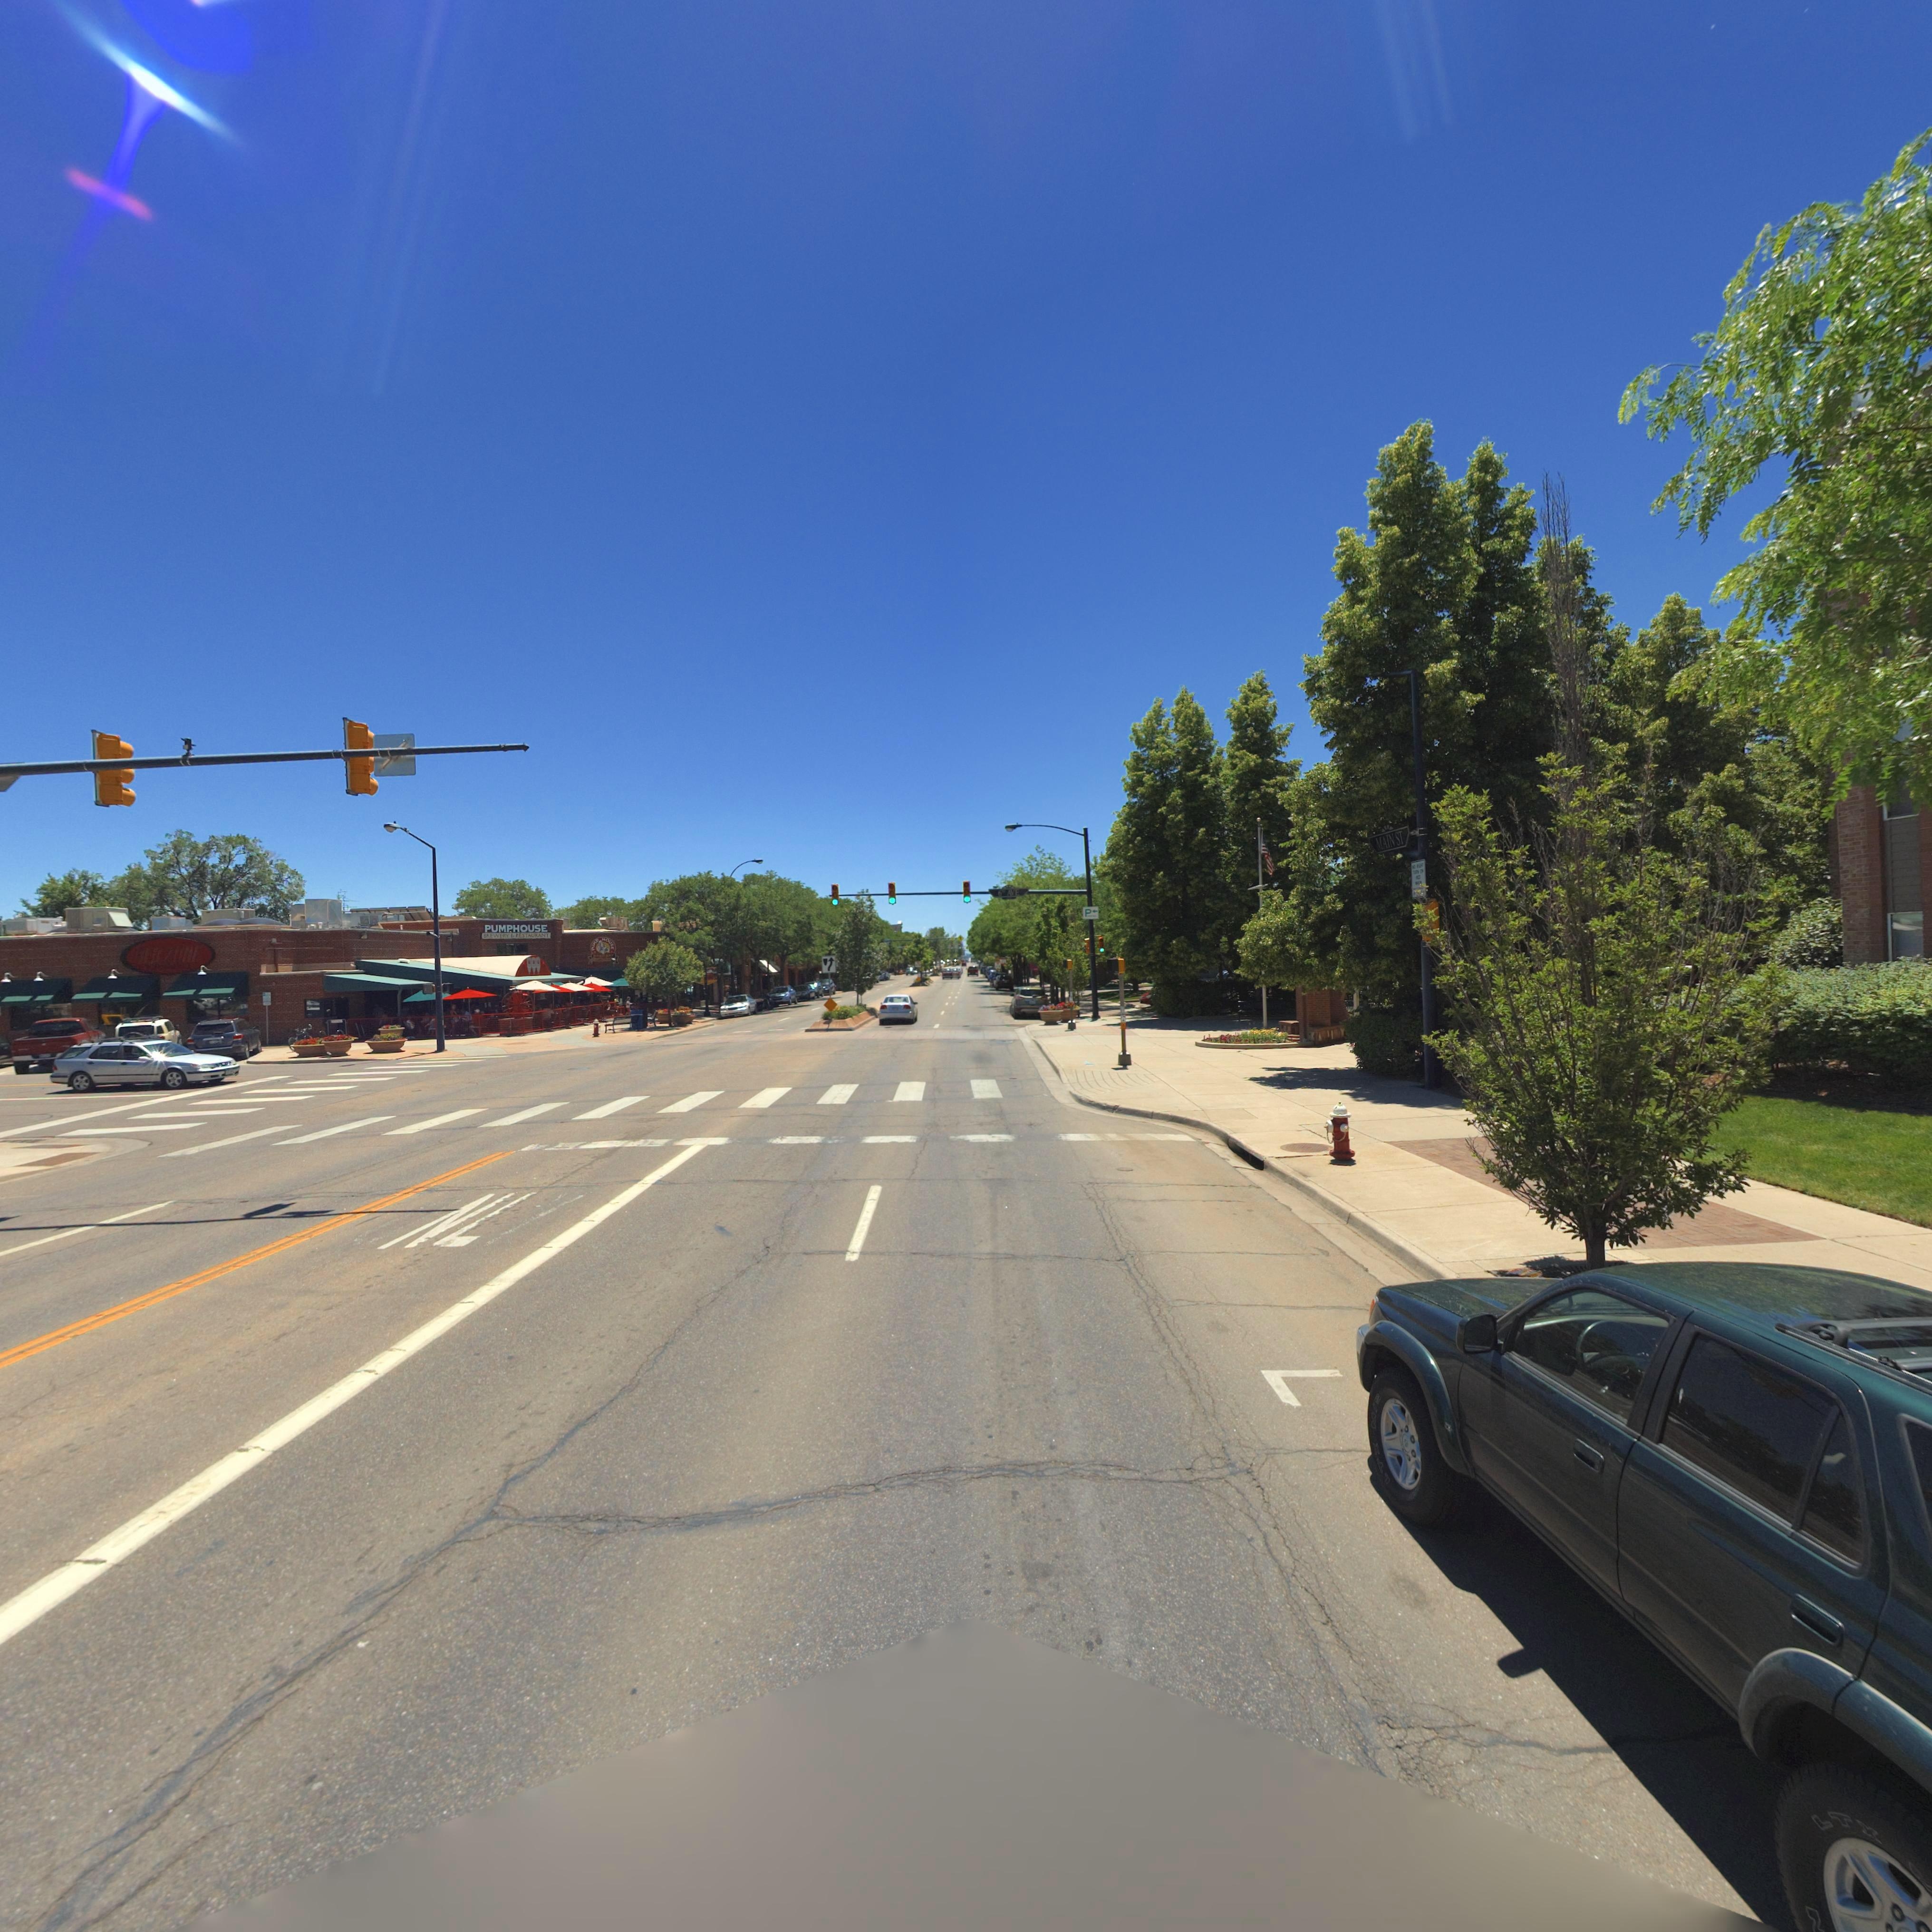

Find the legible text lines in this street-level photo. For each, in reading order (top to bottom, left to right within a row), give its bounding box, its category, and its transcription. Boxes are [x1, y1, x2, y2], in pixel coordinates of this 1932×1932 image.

[1374, 830, 1404, 851] StreetName: MAIN ST
[997, 889, 1020, 897] StreetName: 6TH AVE
[484, 924, 548, 933] BusinessName: PUMPHOUSE
[483, 933, 549, 938] BusinessName: BREWERY & RESTAURANT
[590, 937, 616, 950] BusinessName: PUMP HOUSE
[592, 954, 614, 958] BusinessName: BREWERY